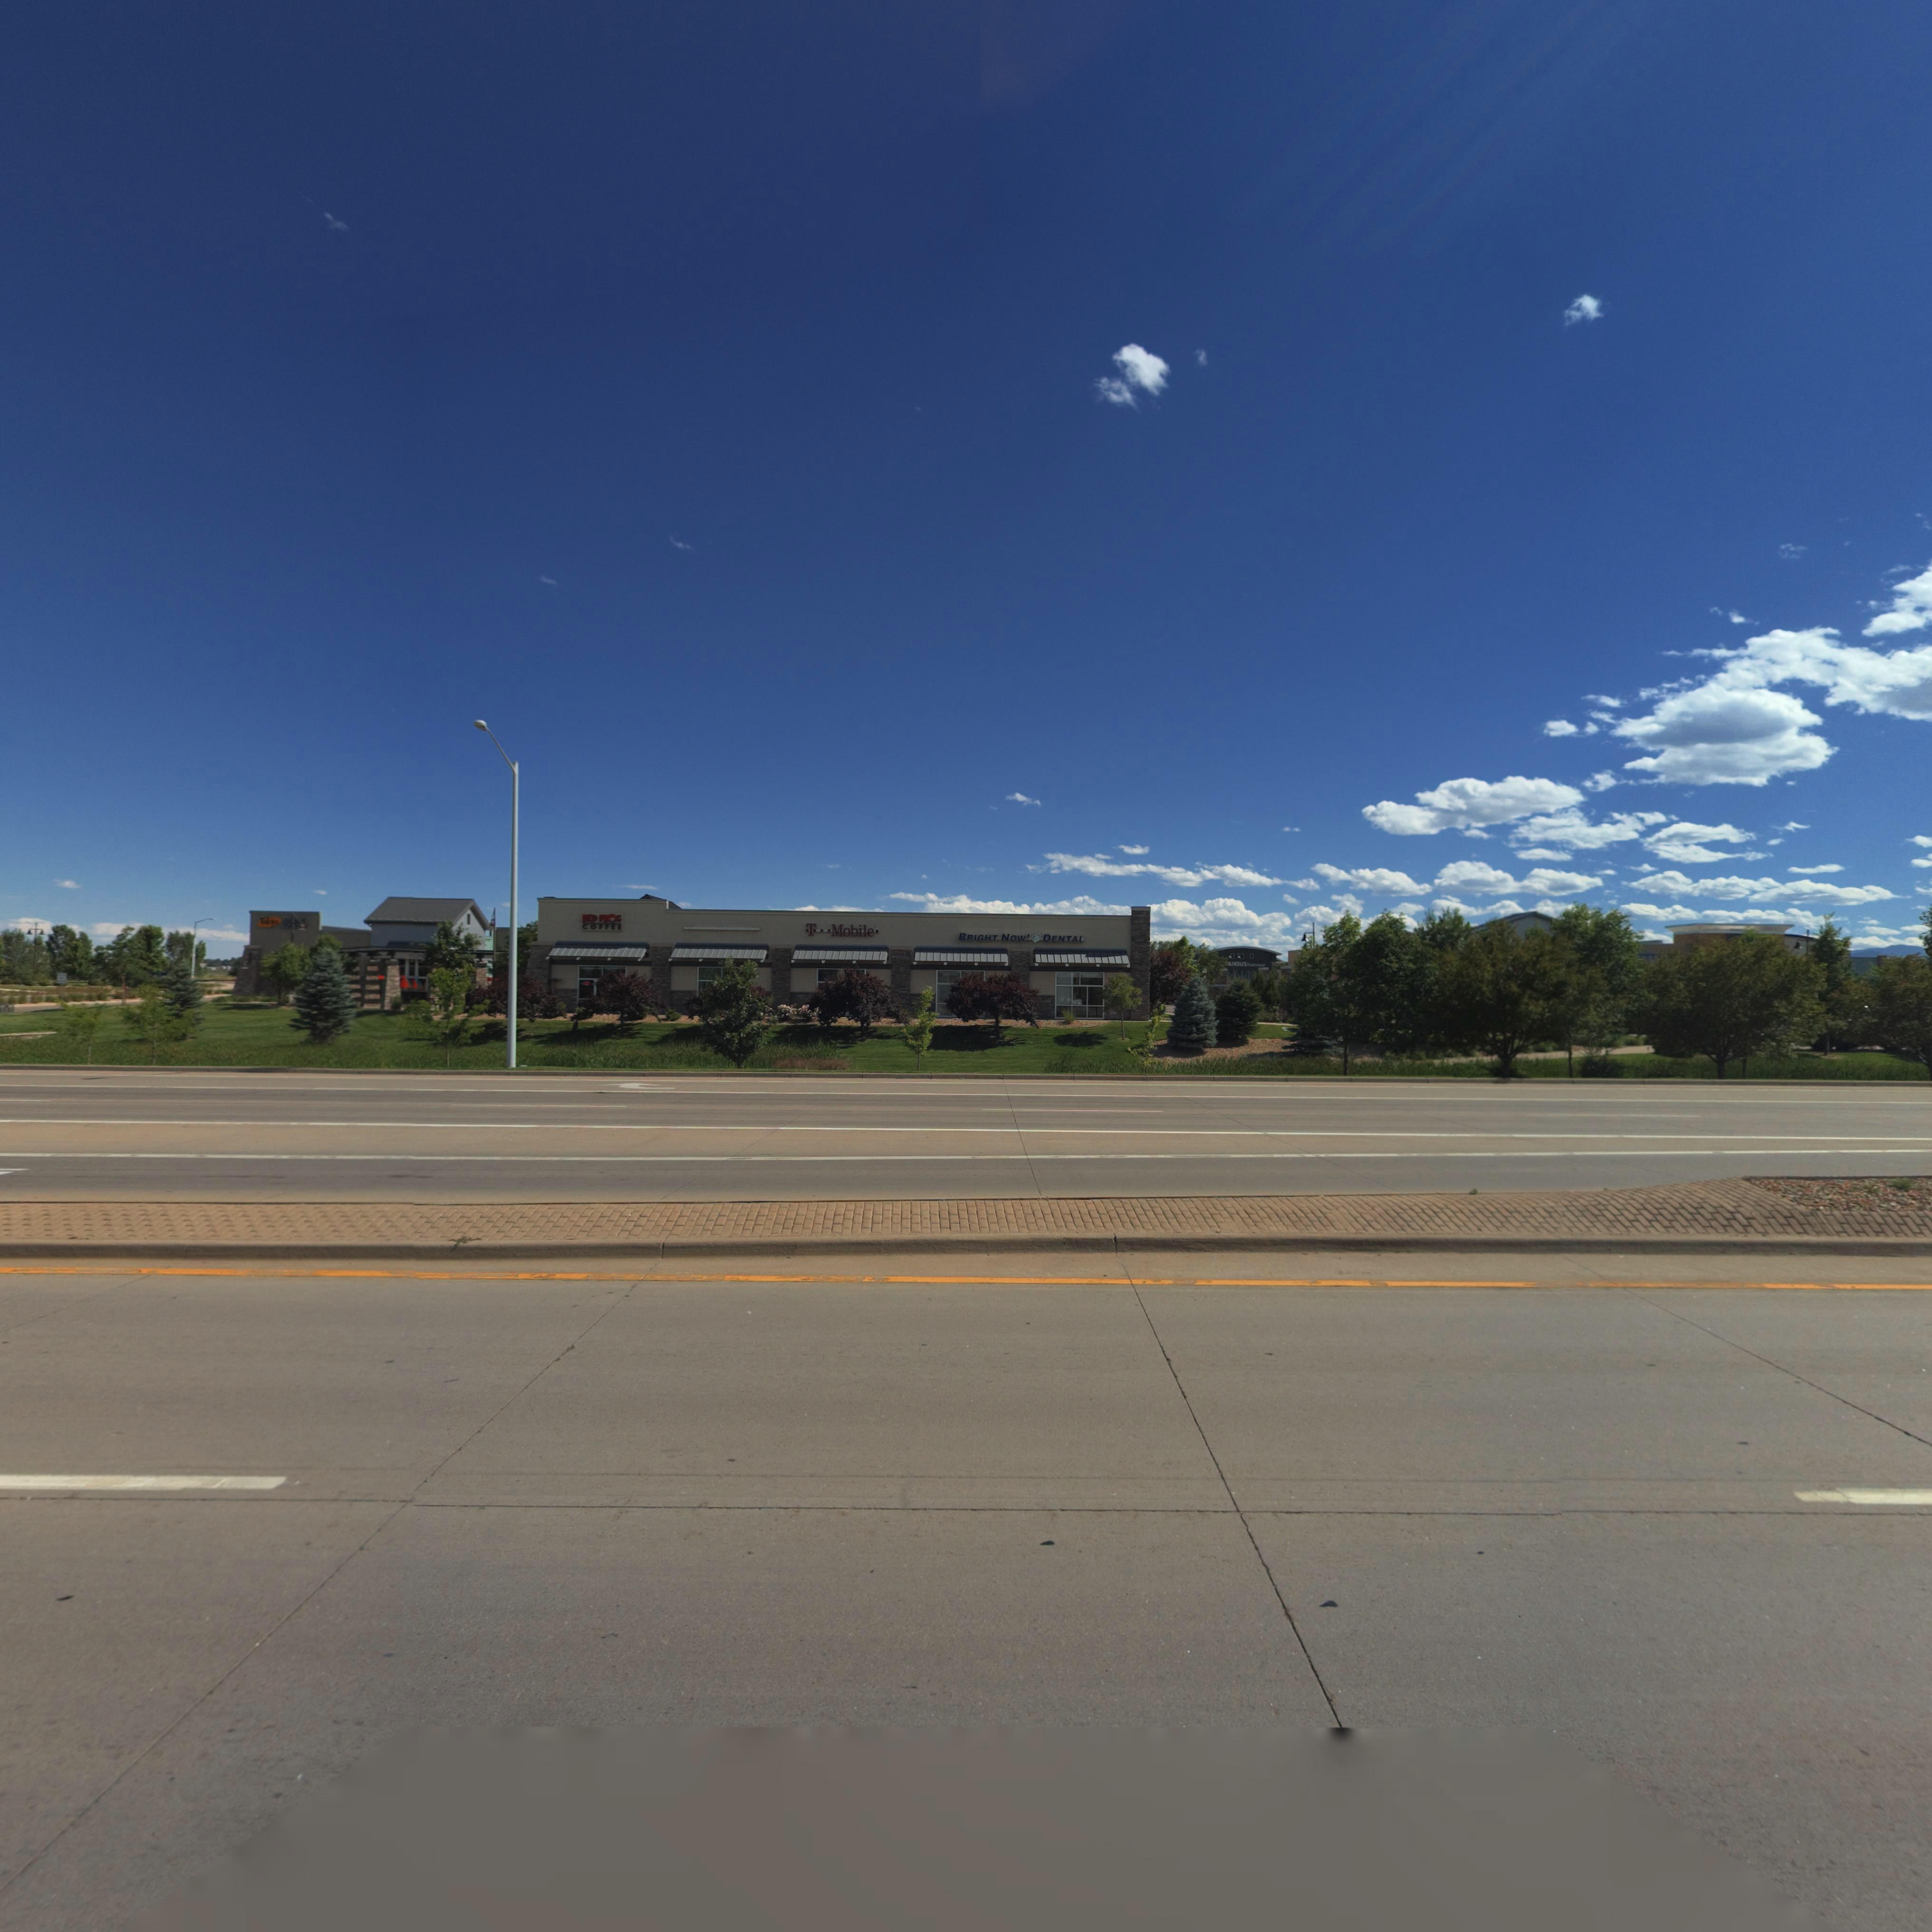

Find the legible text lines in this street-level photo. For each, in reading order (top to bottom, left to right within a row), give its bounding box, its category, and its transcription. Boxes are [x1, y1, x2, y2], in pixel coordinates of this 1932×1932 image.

[581, 913, 622, 923] BusinessName: RED FR*G
[581, 923, 621, 930] BusinessName: COFFEE
[805, 923, 874, 937] BusinessName: T Mobile
[957, 932, 1085, 943] BusinessName: *BRIGHT NOW* DENTAL
[1227, 961, 1266, 967] BusinessName: AMOUSdockwear